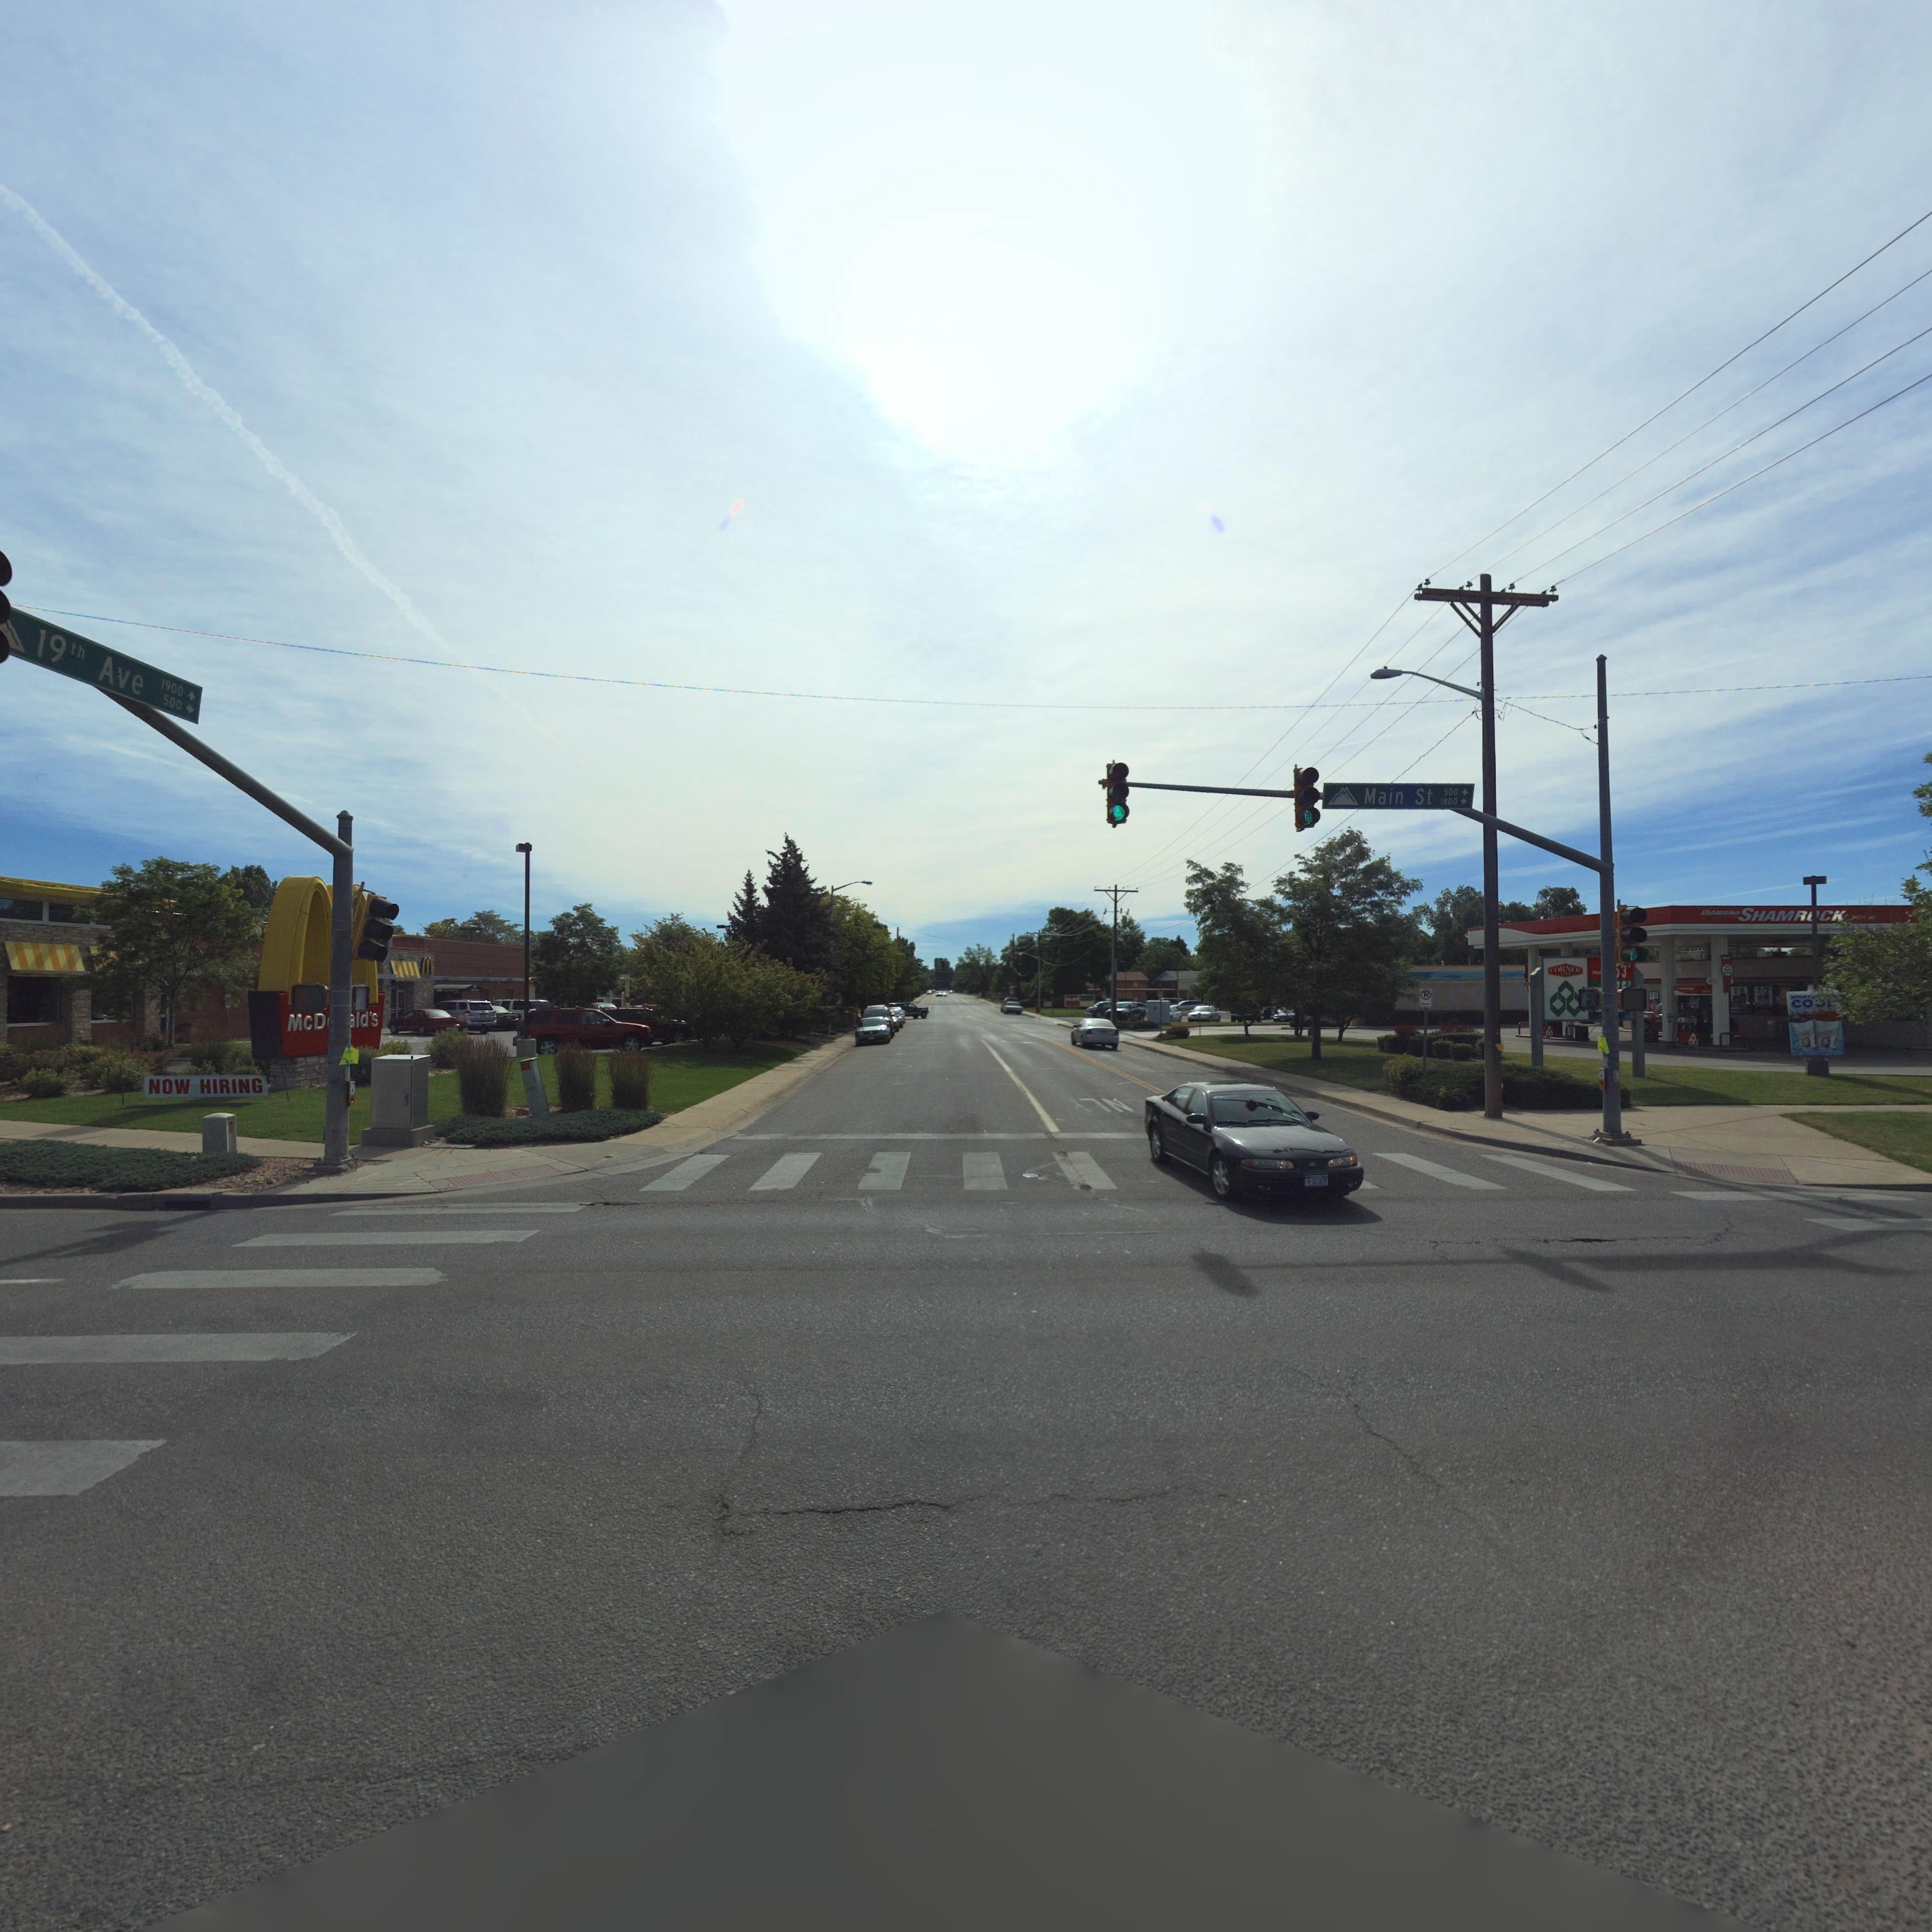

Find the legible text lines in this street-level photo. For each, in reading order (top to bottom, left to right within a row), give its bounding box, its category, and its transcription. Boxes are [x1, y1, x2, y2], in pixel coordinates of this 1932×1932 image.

[33, 626, 145, 698] StreetName: 19th Ave
[161, 677, 185, 697] StreetNumberRange: 1900
[162, 693, 196, 715] StreetNumberRange: 500 ->
[1362, 786, 1434, 805] StreetName: Main St
[1443, 788, 1459, 796] StreetNumberRange: 500
[1439, 797, 1467, 805] StreetNumberRange: 1800 ->
[1700, 909, 1741, 916] BusinessName: DIAMOND
[1738, 908, 1848, 922] BusinessName: SHAMR*CK
[1549, 965, 1581, 973] BusinessName: CORNER
[285, 1011, 380, 1033] BusinessName: McD**ald's